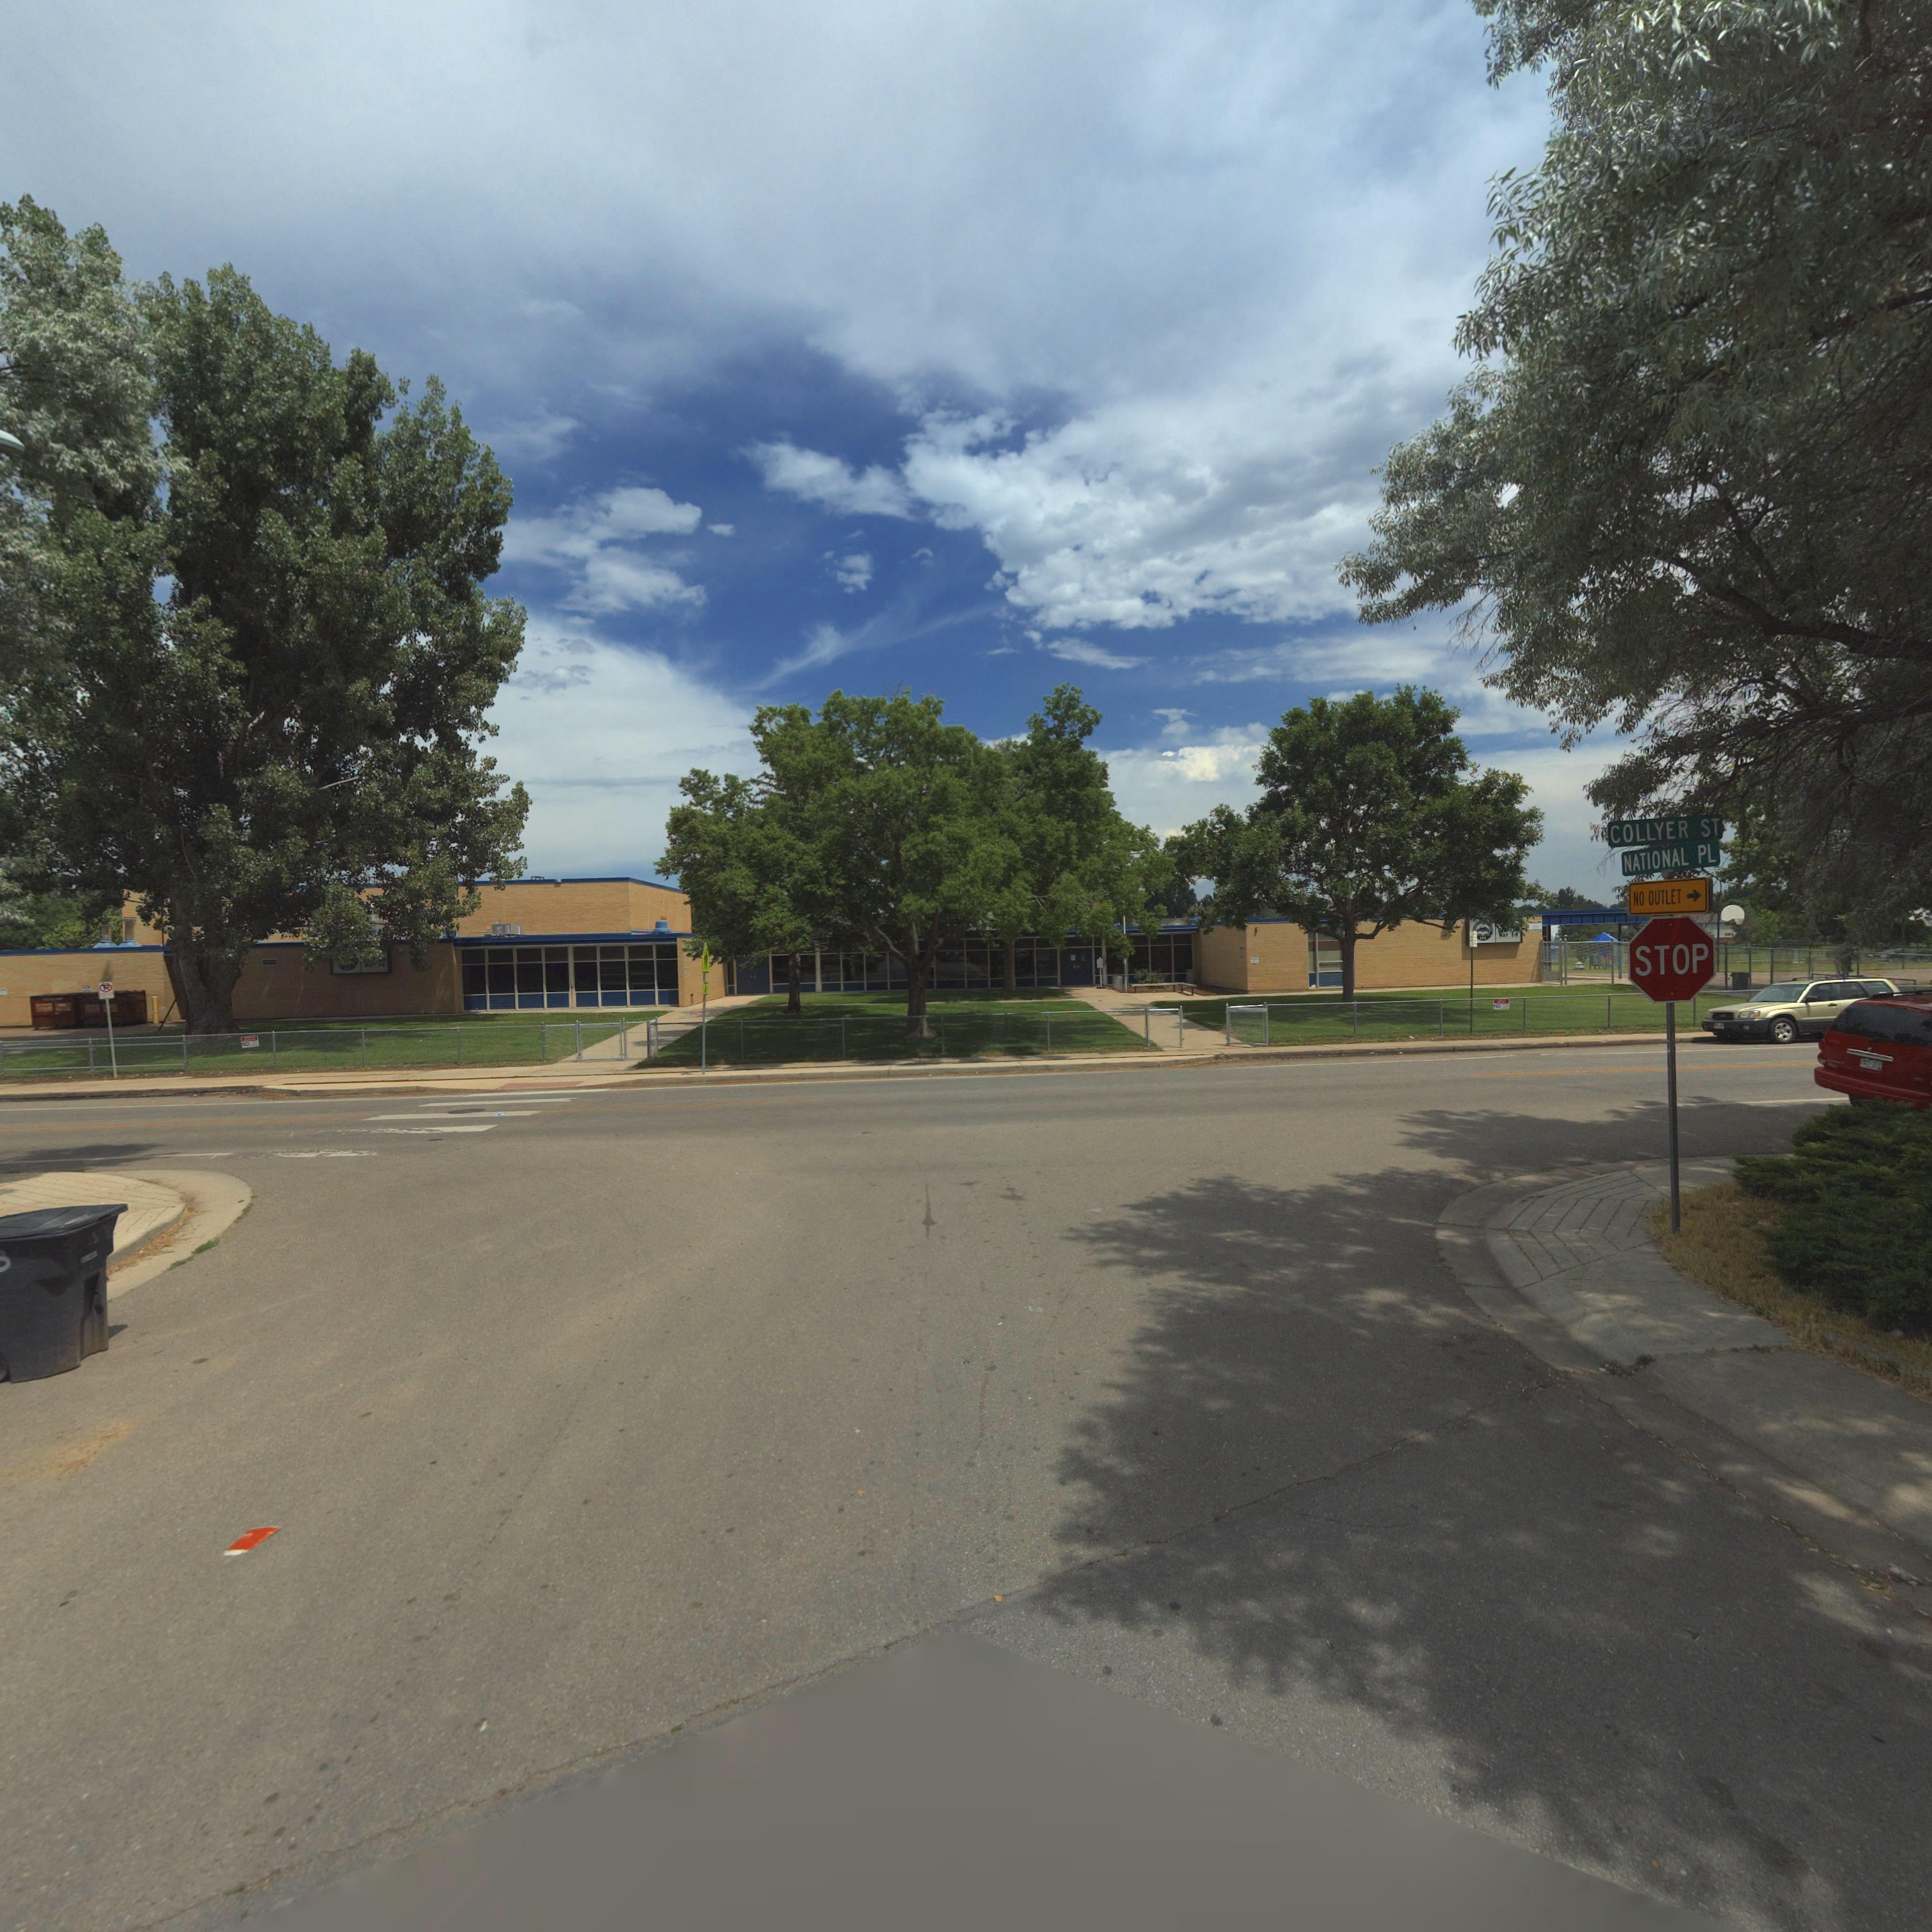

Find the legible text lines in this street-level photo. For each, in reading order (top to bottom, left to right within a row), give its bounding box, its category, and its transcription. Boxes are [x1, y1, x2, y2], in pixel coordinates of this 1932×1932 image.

[1610, 817, 1720, 843] StreetName: COLLYER ST
[1623, 843, 1716, 873] StreetName: NATIONAL PL